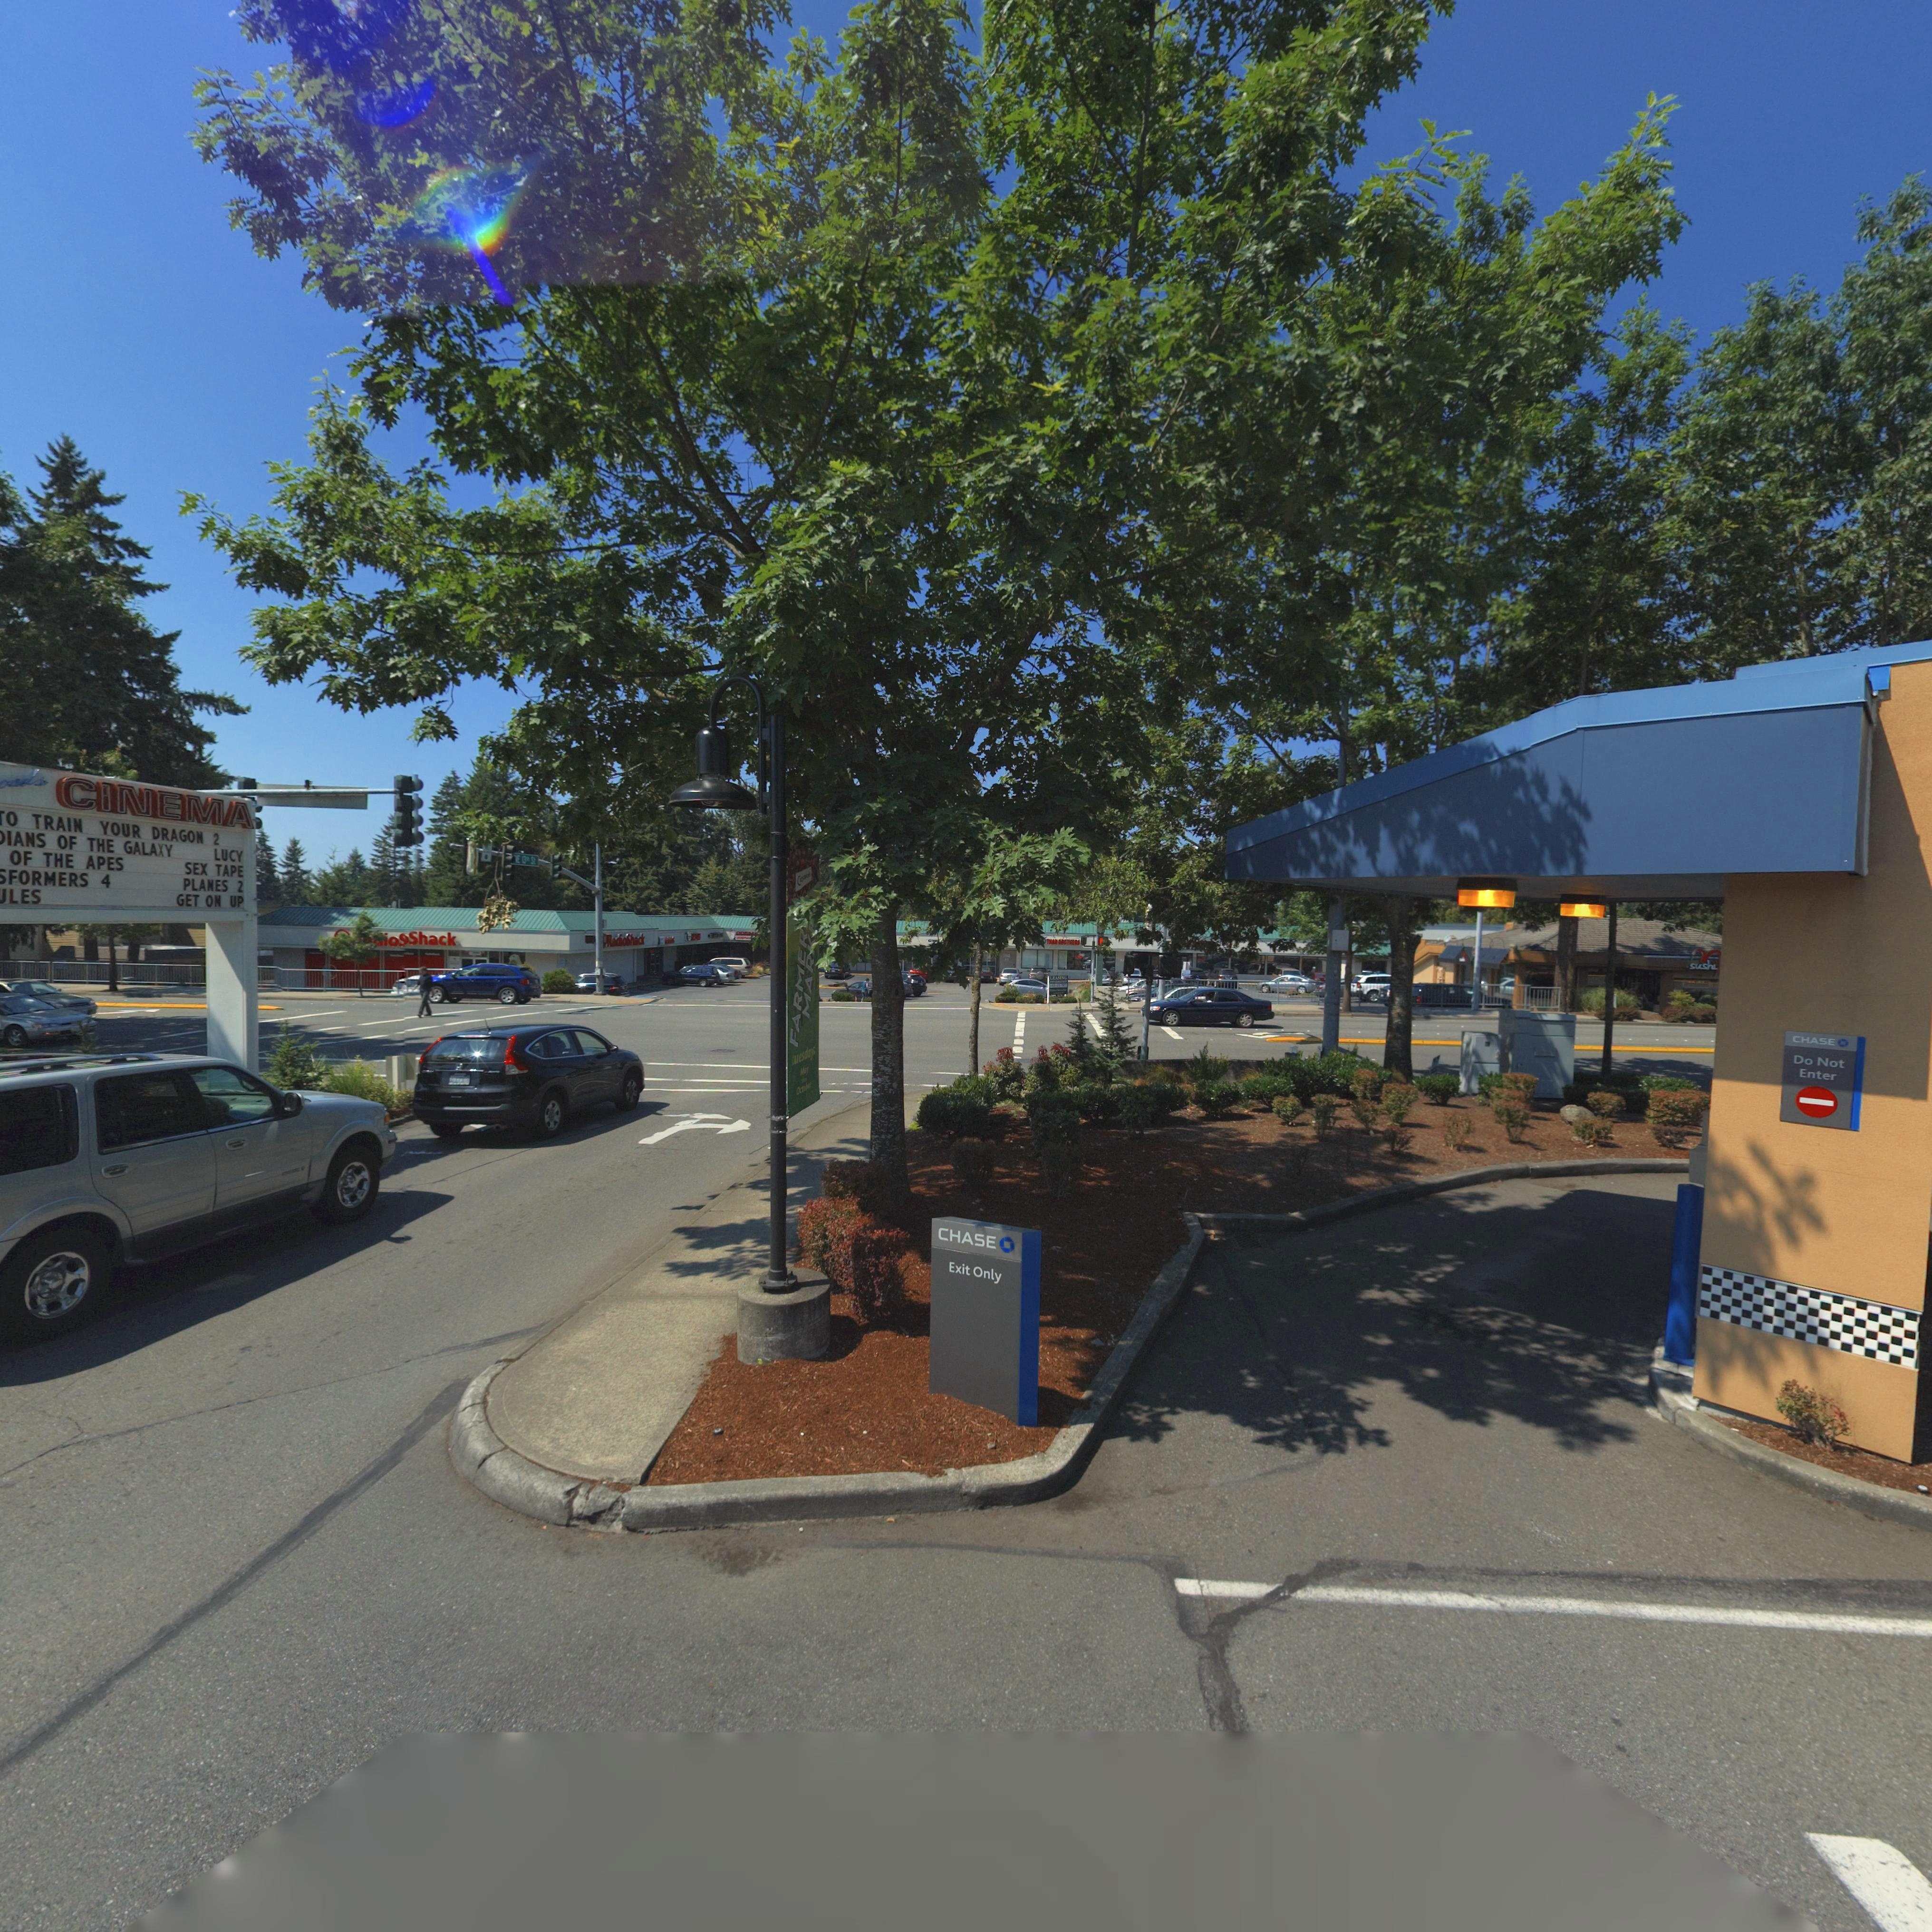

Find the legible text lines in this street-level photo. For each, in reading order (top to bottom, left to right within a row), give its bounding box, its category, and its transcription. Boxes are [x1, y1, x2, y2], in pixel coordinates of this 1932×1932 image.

[55, 776, 255, 829] BusinessName: CINEMA
[514, 853, 537, 866] StreetName: *E 13th St
[388, 931, 457, 947] BusinessName: o*Shack
[1046, 938, 1080, 945] BusinessName: THA* ***TH** S
[802, 932, 815, 1019] BusinessName: MARK
[1689, 960, 1719, 970] BusinessName: sushi
[789, 927, 808, 1047] BusinessName: FARMER
[1792, 1035, 1835, 1045] BusinessName: CHASE
[938, 1227, 996, 1249] BusinessName: CHASE
[949, 1261, 1002, 1284] None: Exit Only